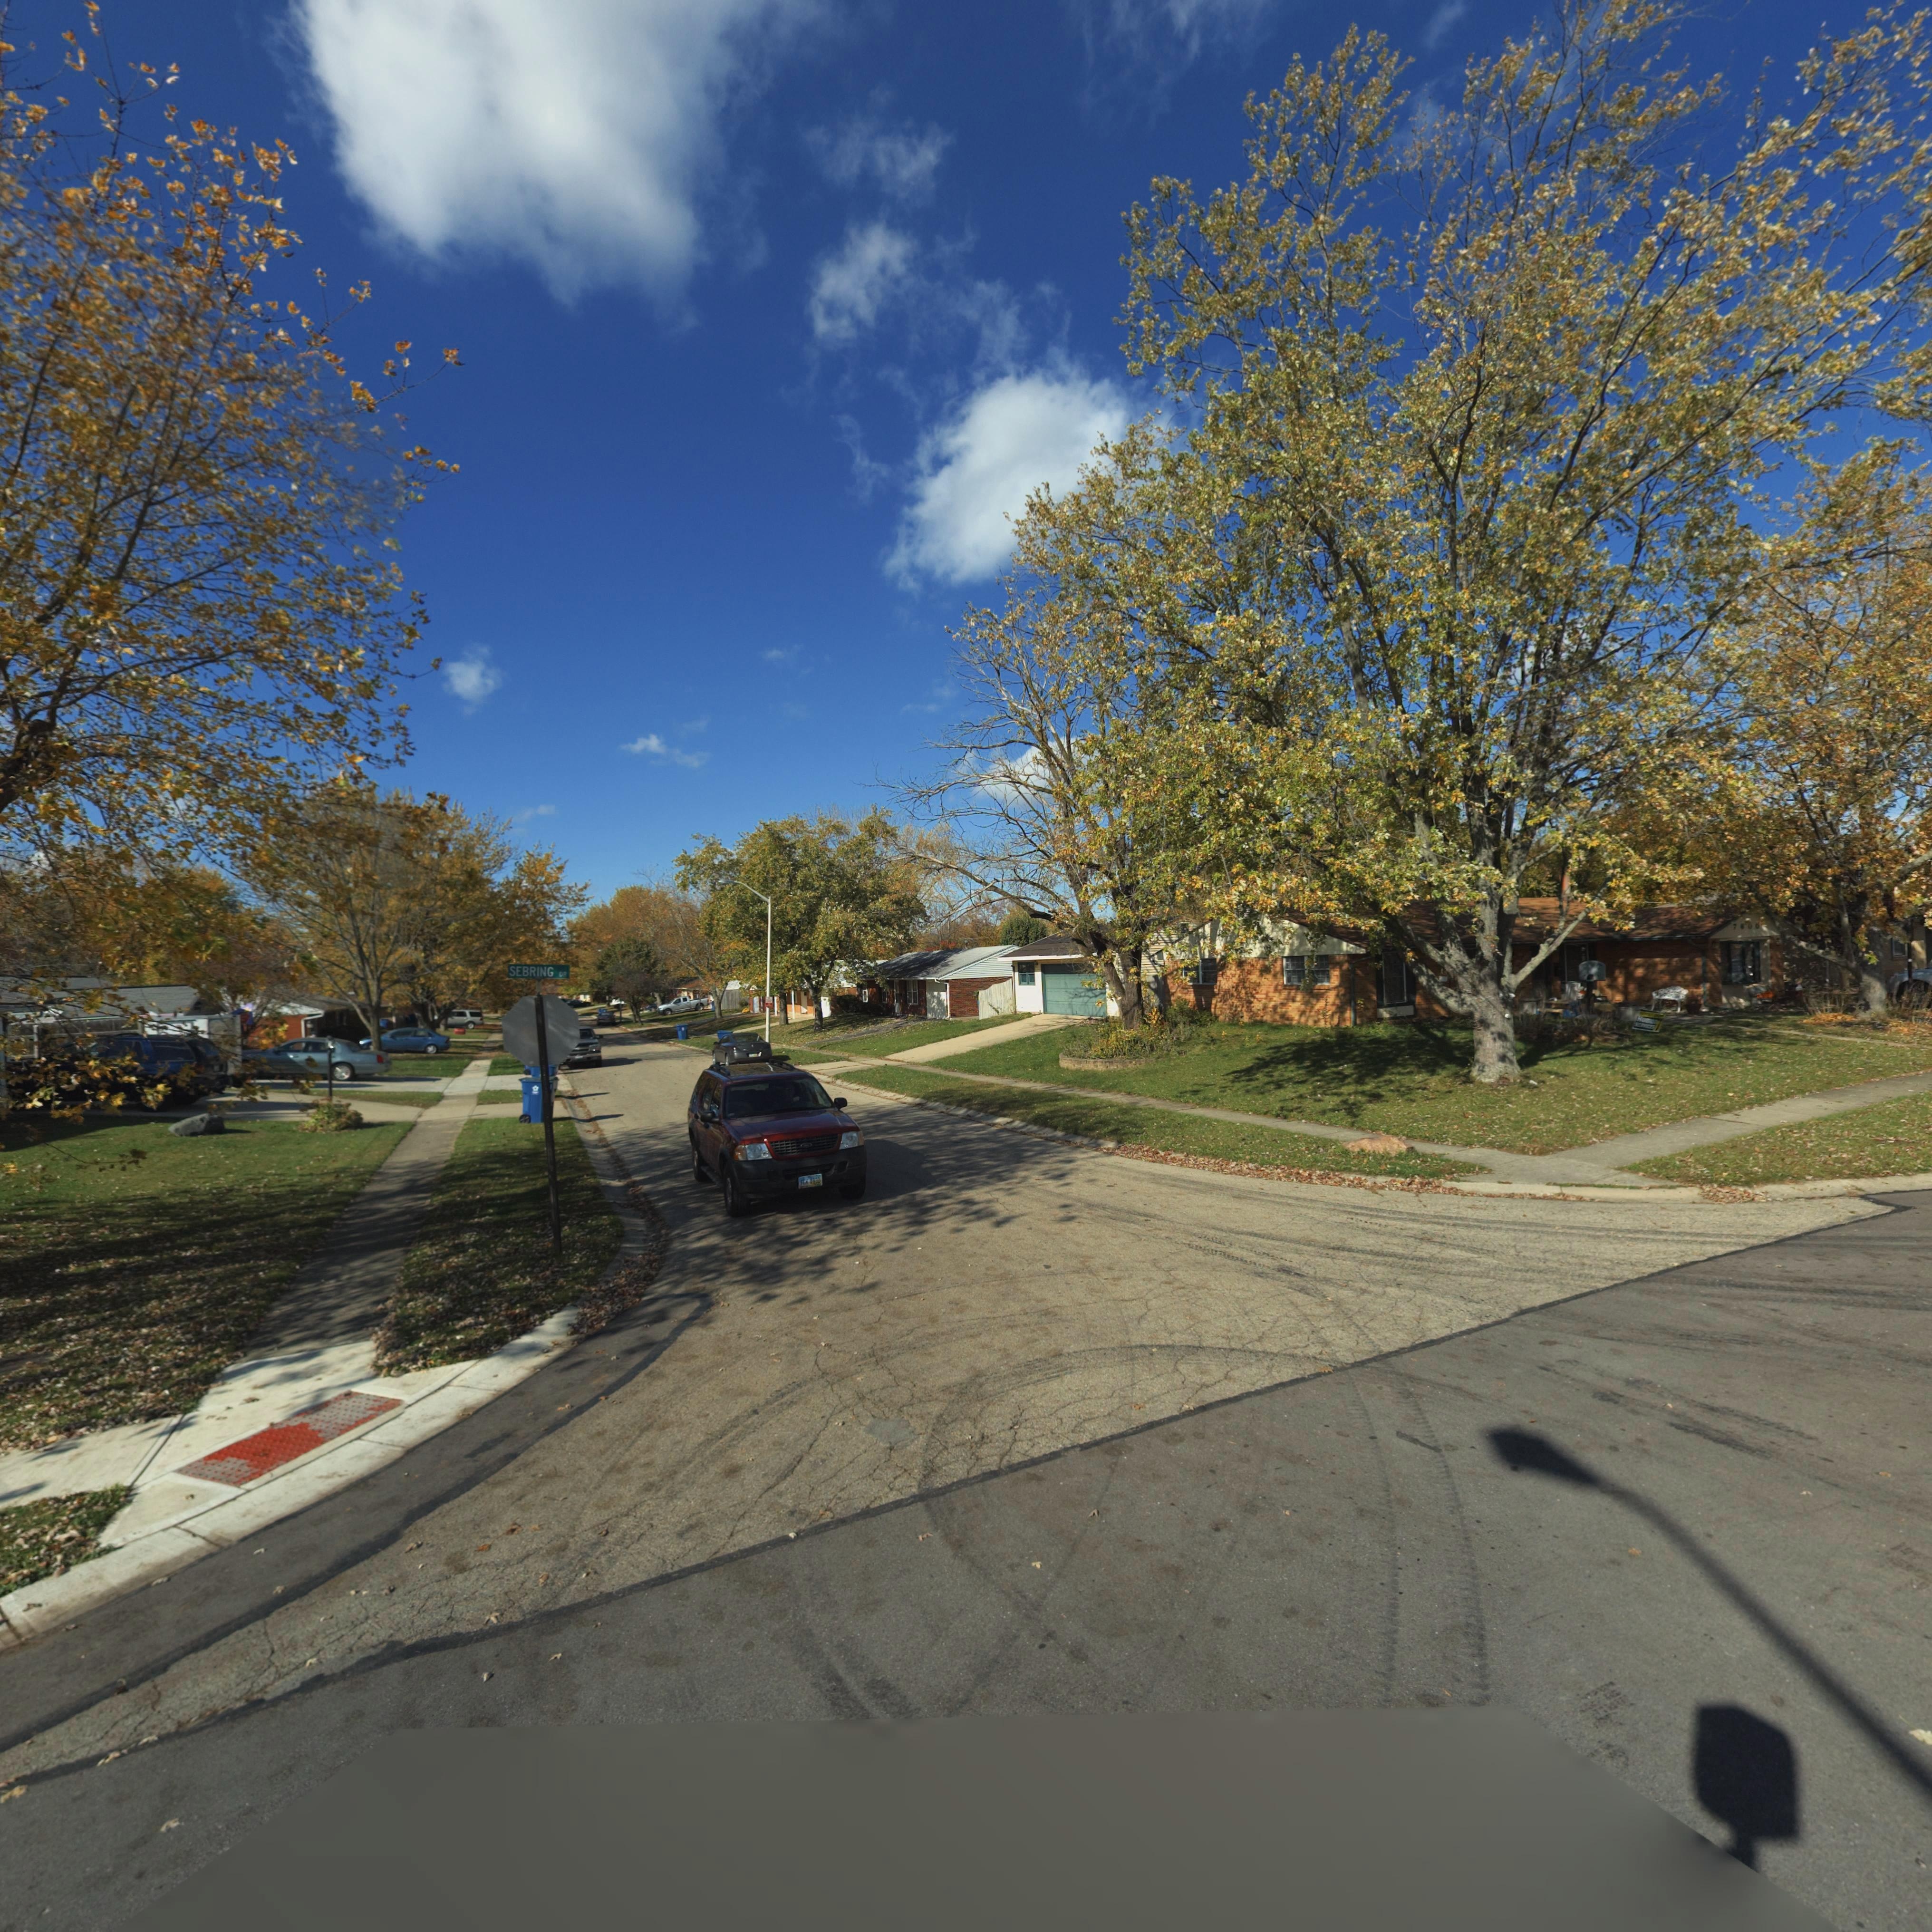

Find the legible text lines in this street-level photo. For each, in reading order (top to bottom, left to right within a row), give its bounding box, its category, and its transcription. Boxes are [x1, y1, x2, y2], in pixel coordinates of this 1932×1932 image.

[1732, 921, 1761, 931] StreetNumber: 76**